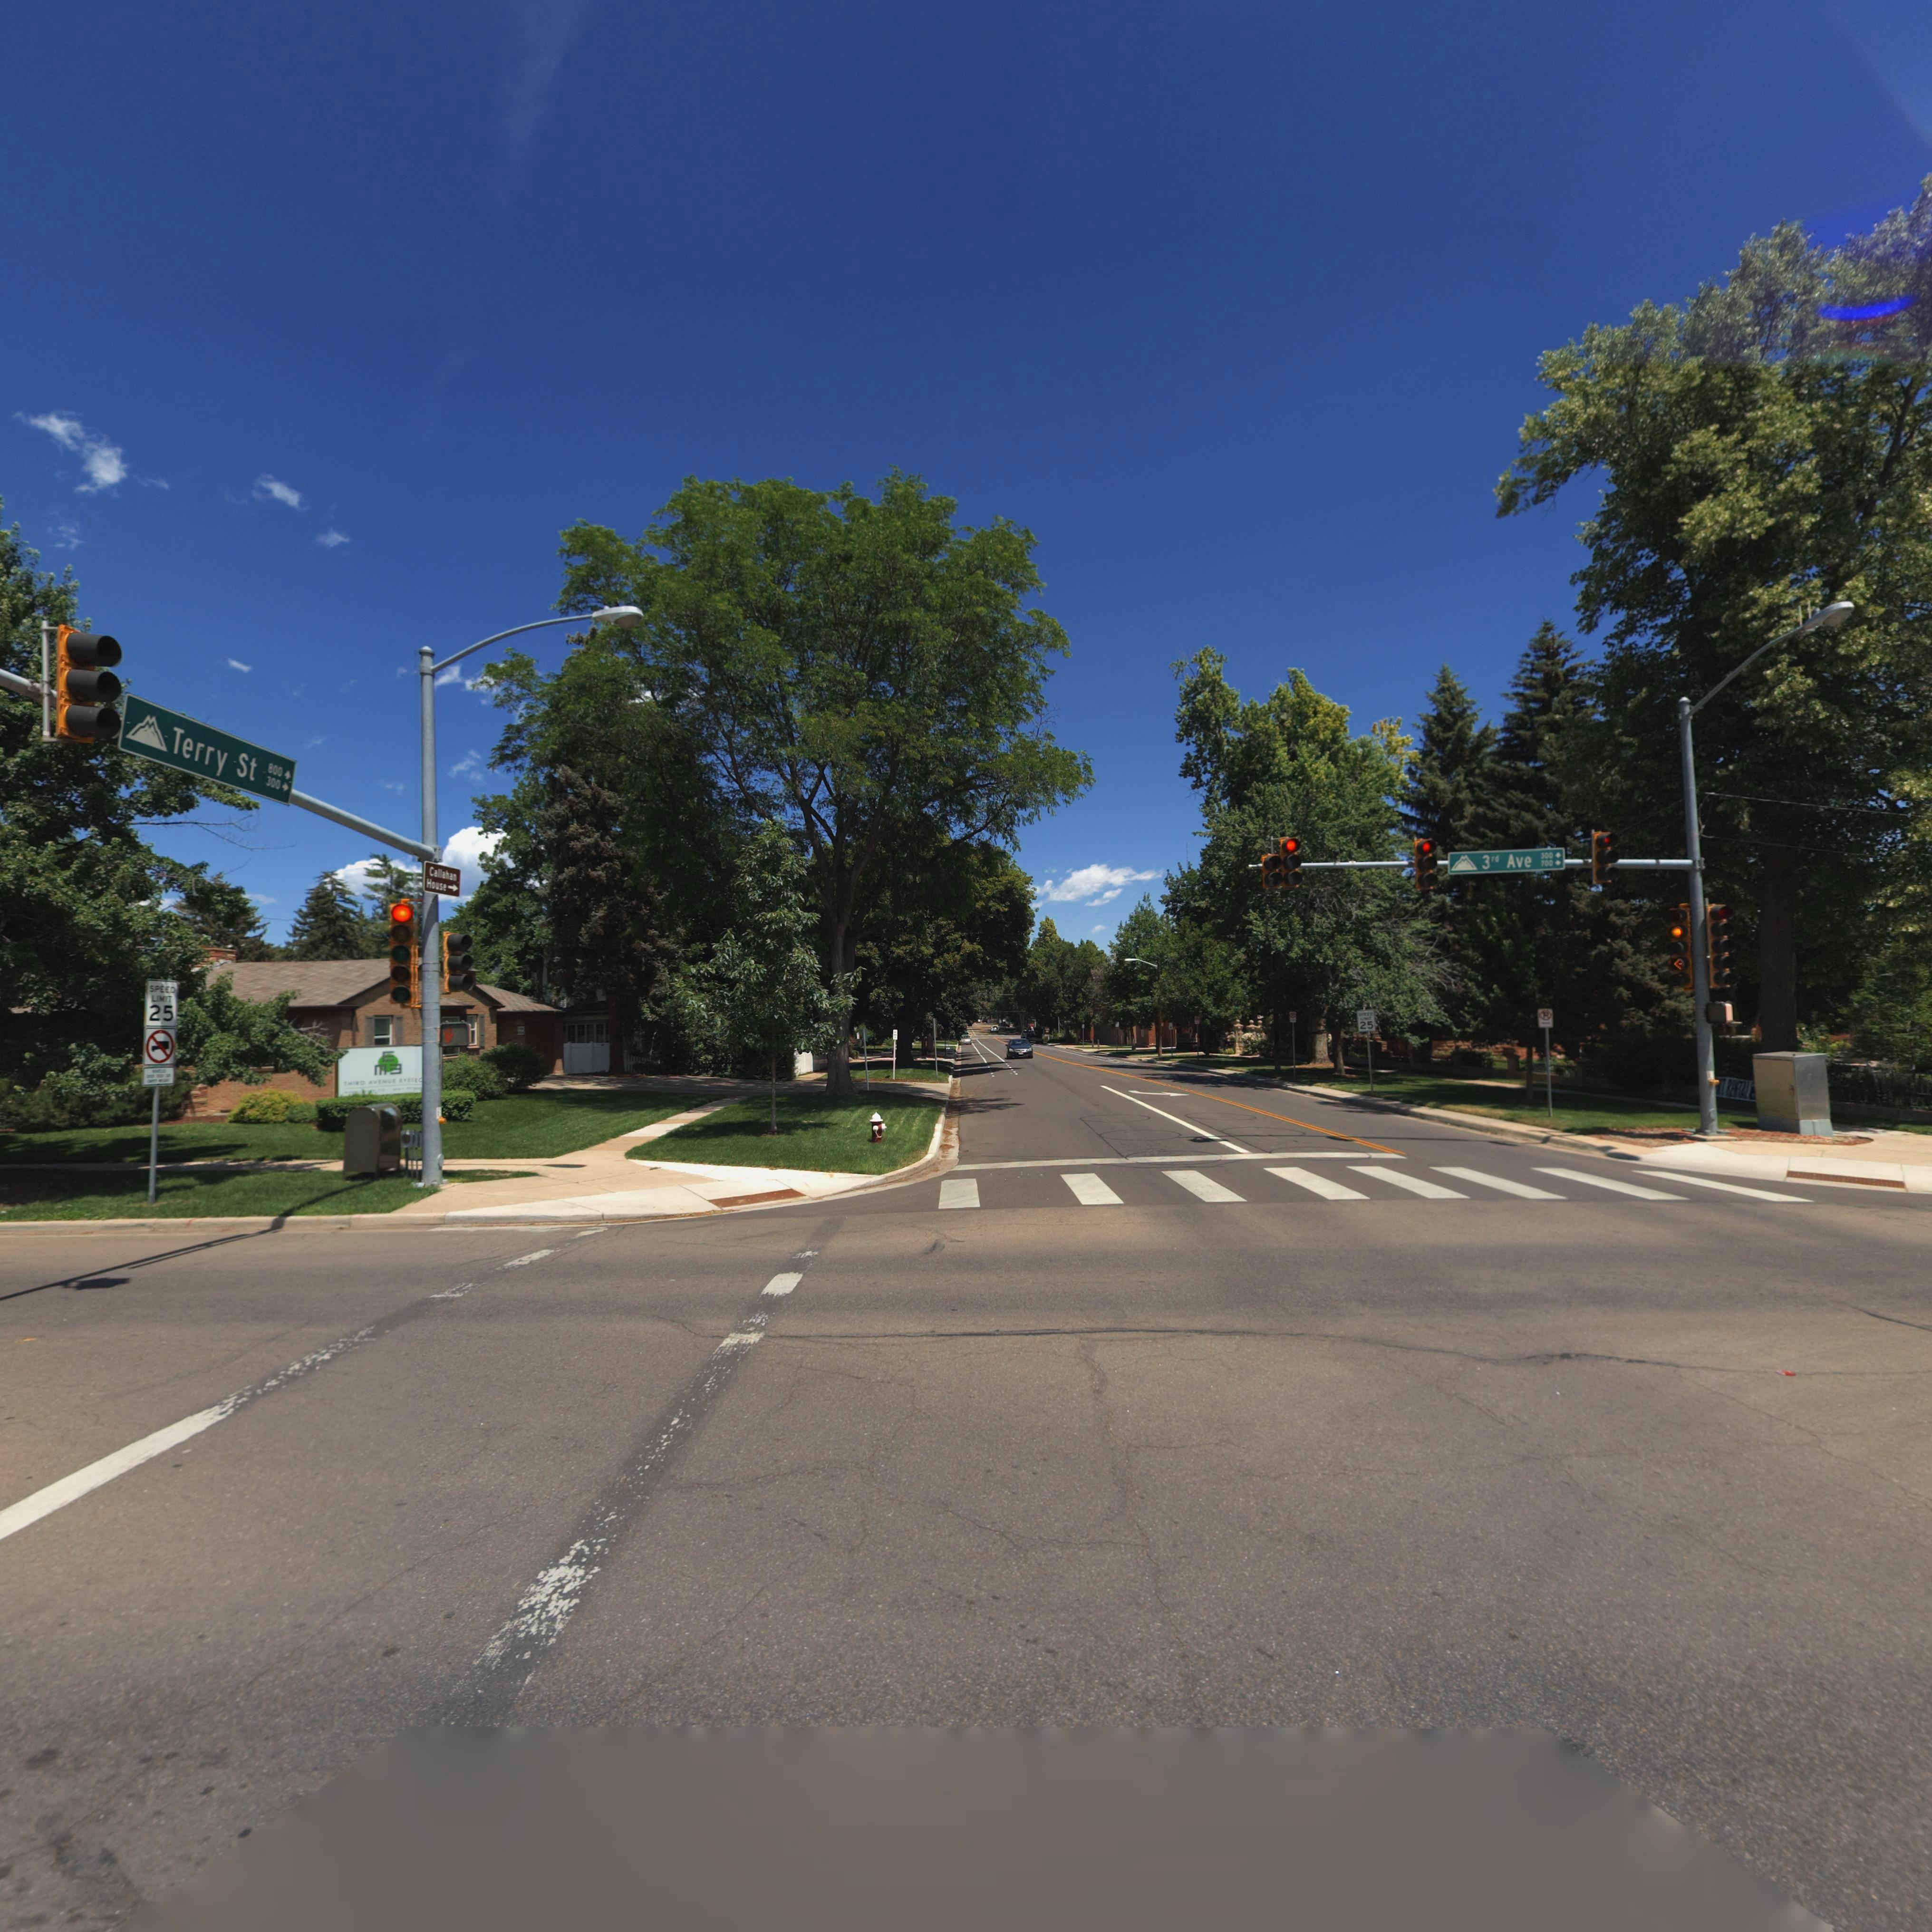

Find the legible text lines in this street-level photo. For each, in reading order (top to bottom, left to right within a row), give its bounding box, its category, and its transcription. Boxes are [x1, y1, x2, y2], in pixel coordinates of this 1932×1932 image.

[173, 726, 258, 781] StreetName: Terry St
[268, 763, 283, 777] StreetNumberRange: 800
[266, 775, 289, 791] StreetNumberRange: 300->
[1540, 852, 1553, 859] StreetNumberRange: 300
[1481, 854, 1532, 869] StreetName: 3rd Ave
[1541, 860, 1561, 867] StreetNumberRange: 700->
[343, 1080, 366, 1086] BusinessName: THI*D
[367, 1079, 396, 1084] BusinessName: AV*NU*
[398, 1077, 422, 1083] BusinessName: E**CE*